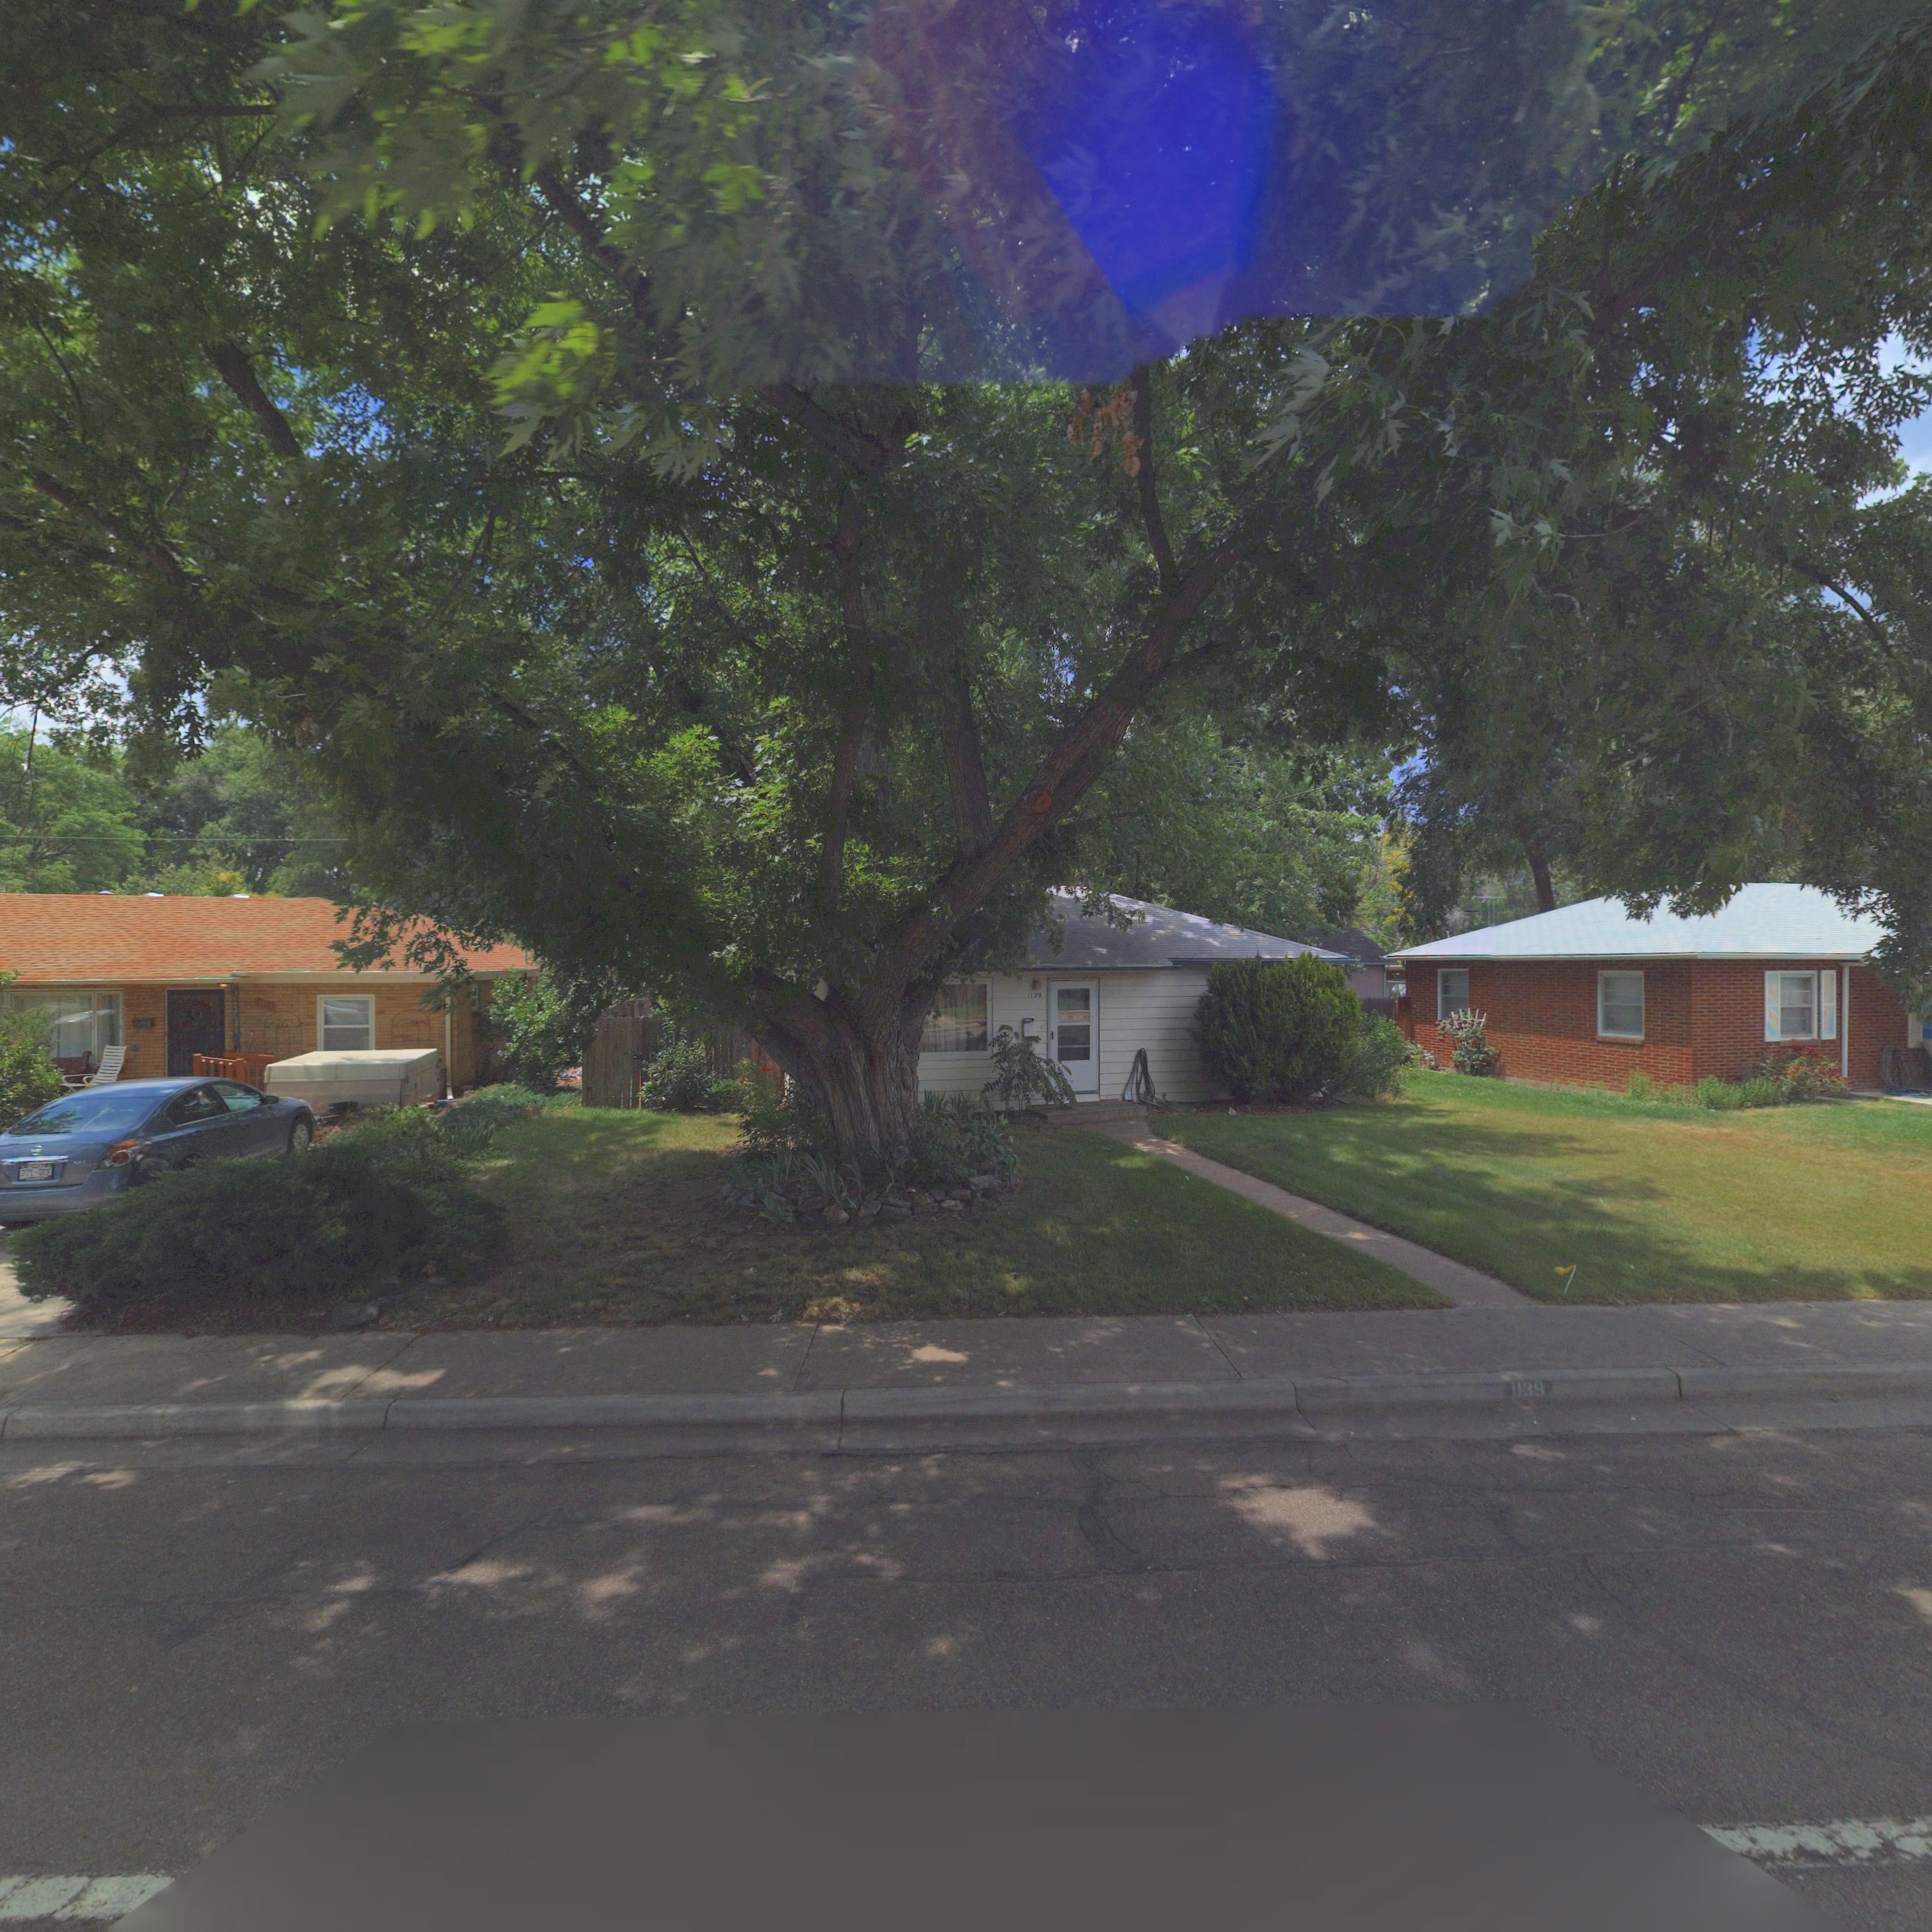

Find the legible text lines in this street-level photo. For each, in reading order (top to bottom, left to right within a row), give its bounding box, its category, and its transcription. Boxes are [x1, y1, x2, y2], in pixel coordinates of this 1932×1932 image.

[1027, 992, 1042, 999] StreetNumber: 1139
[1509, 1379, 1544, 1398] StreetNumber: 1139